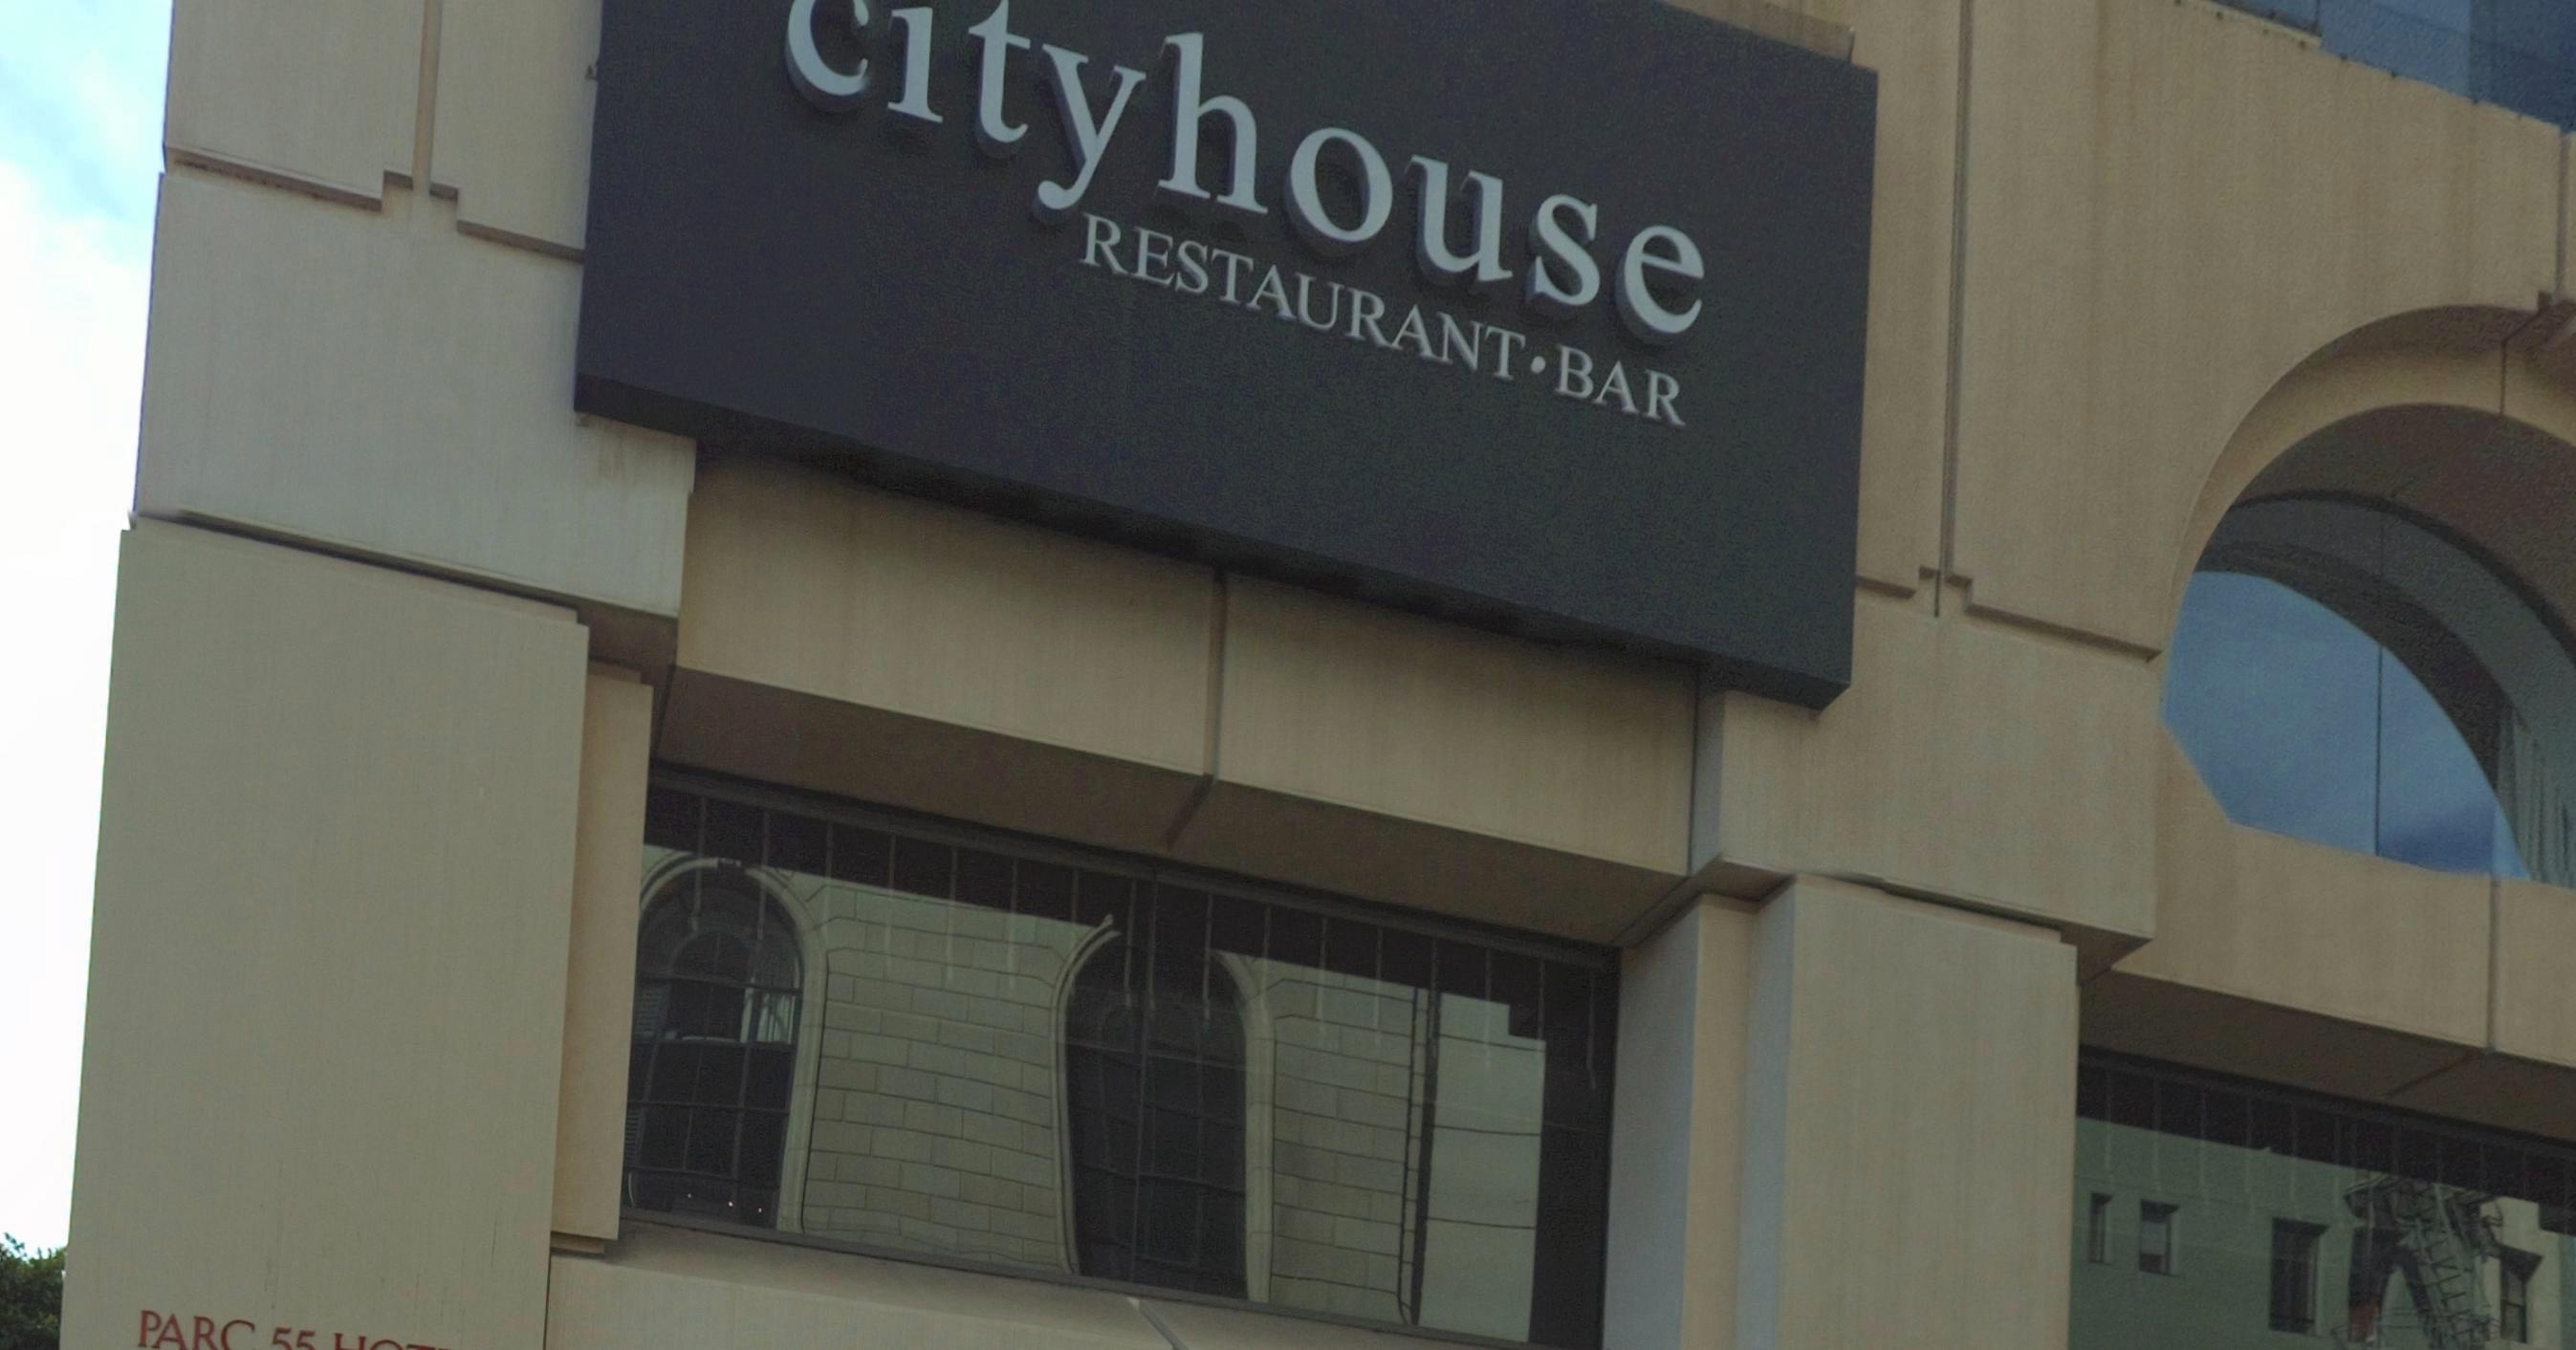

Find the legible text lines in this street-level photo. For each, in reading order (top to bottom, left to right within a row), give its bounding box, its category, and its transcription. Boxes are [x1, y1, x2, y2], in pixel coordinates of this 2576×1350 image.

[960, 0, 1716, 360] BusinessName: tyhouse
[1071, 200, 1692, 436] BusinessName: RESTAURANT * BAR
[133, 1305, 164, 1349] None: P